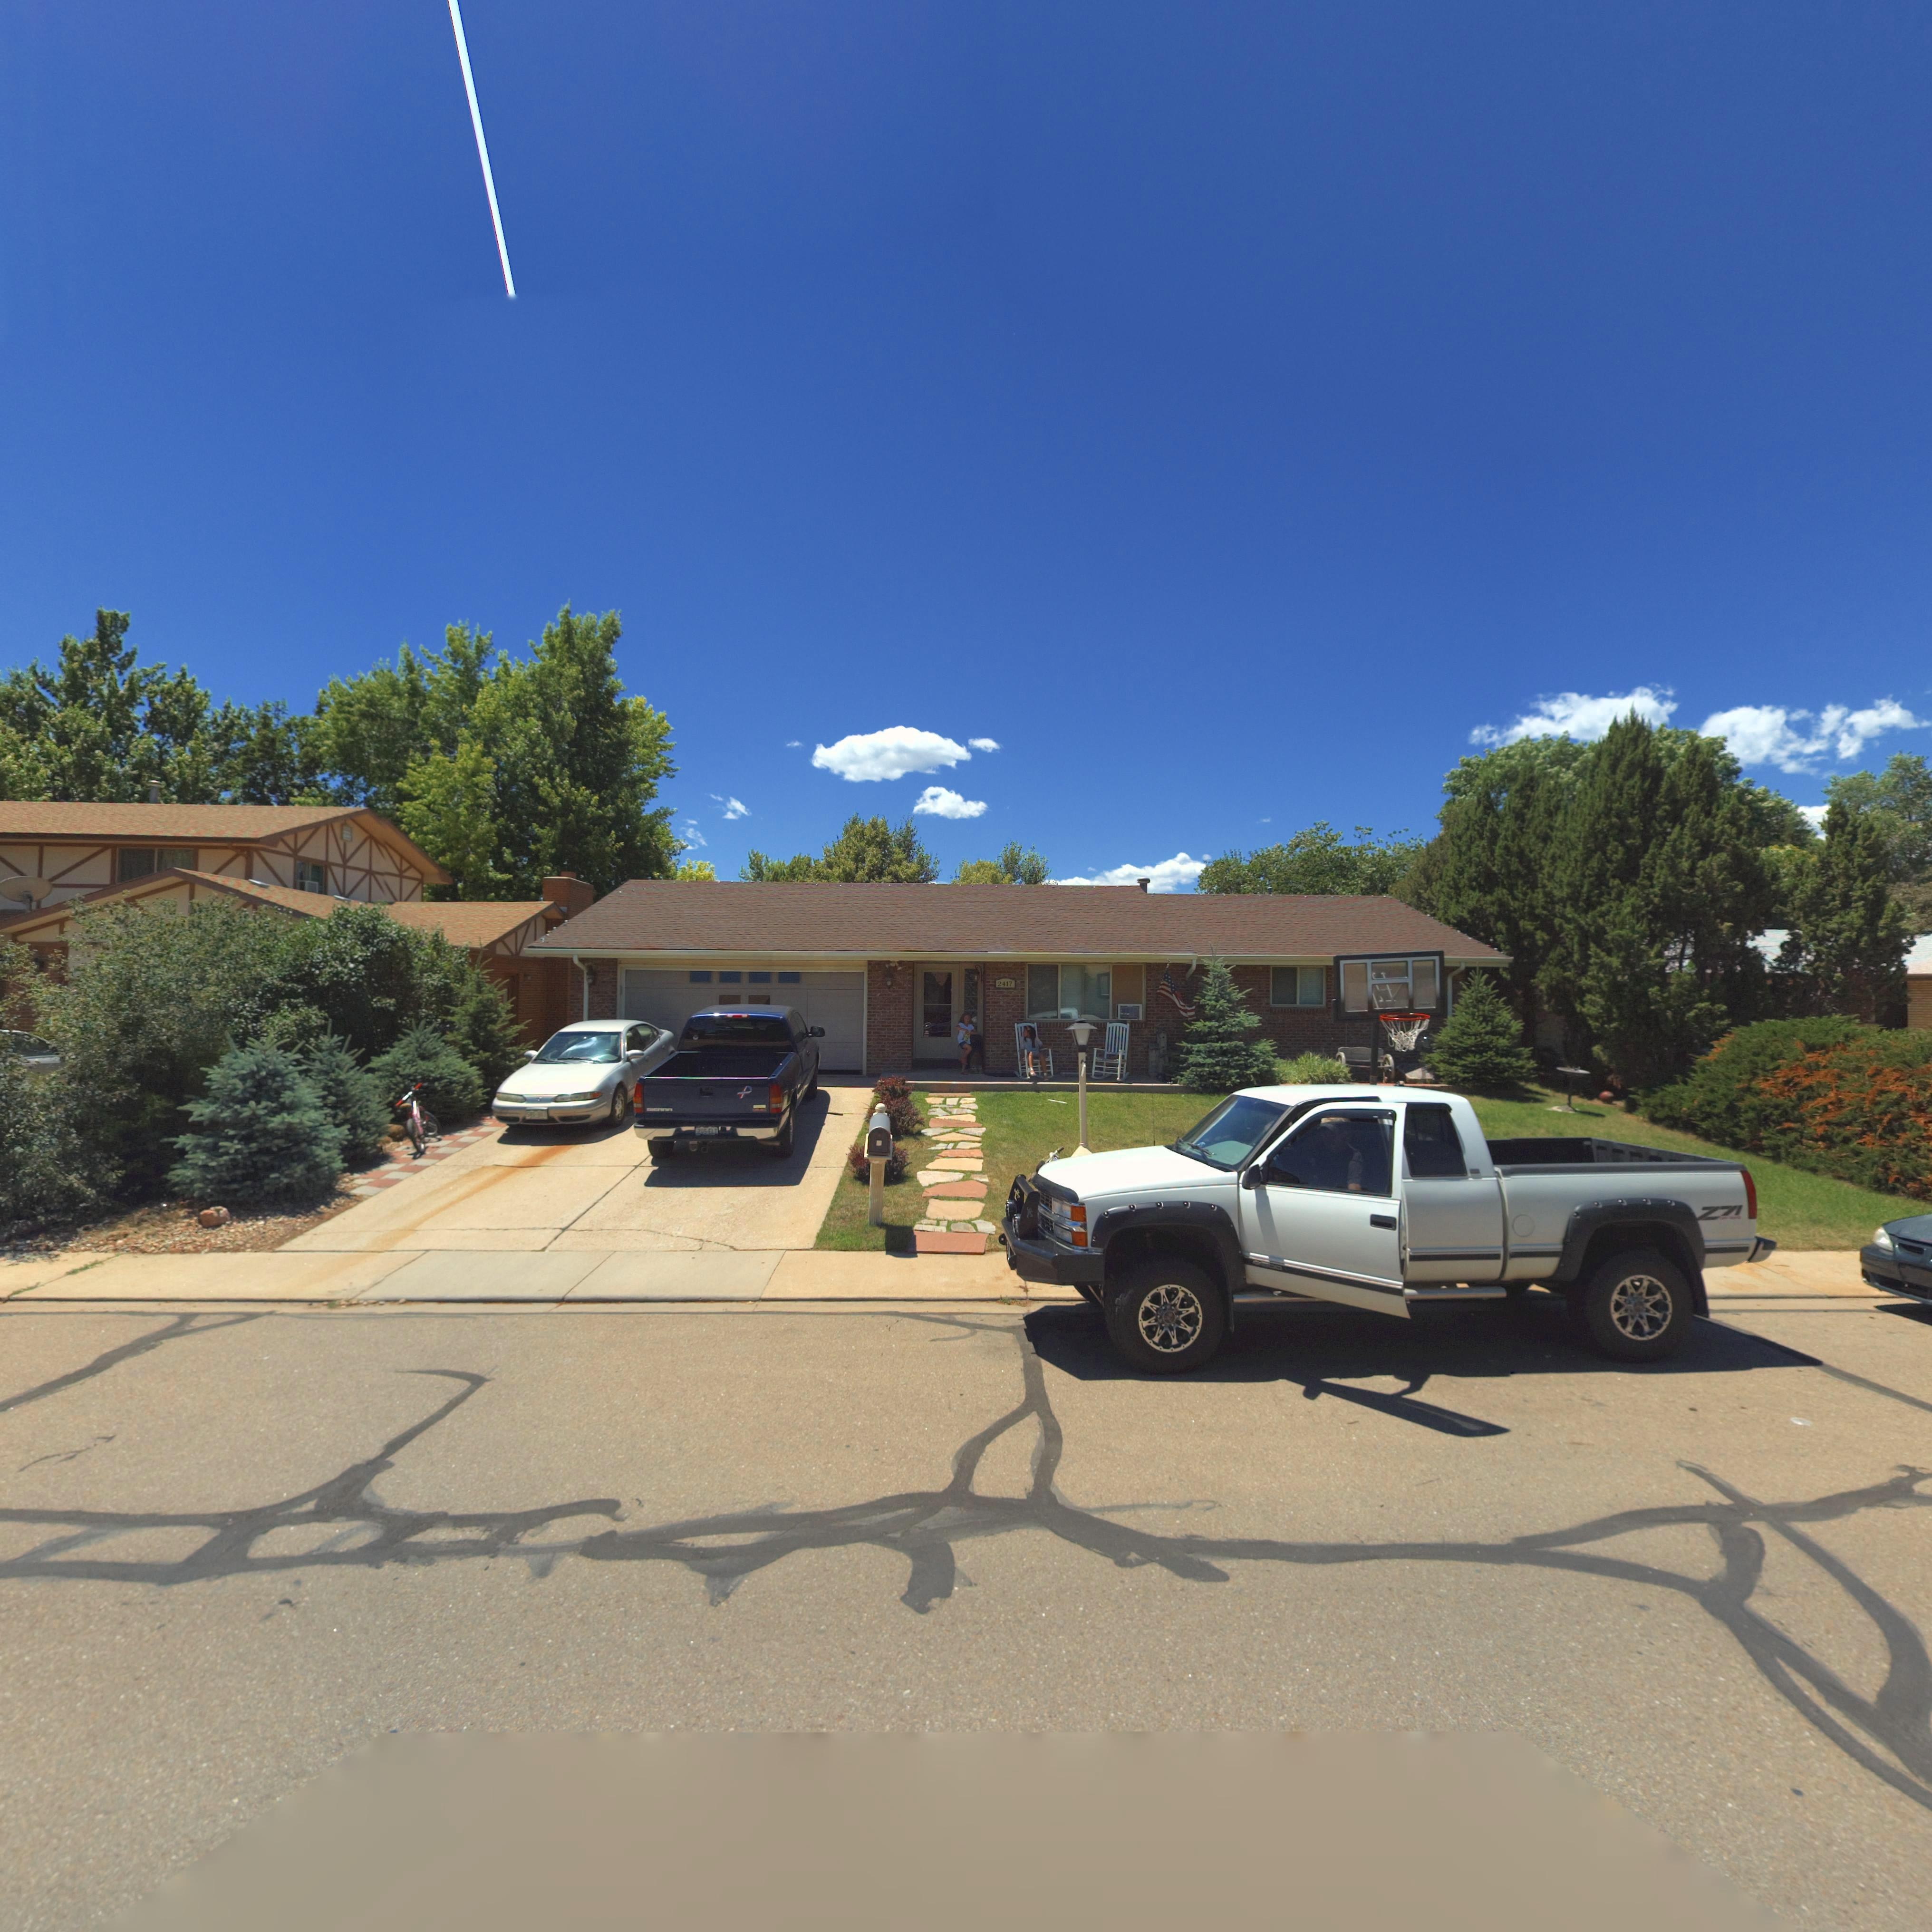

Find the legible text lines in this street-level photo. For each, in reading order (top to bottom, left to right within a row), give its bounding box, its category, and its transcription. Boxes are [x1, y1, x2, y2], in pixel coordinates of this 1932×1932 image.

[997, 981, 1013, 986] StreetNumber: 2417